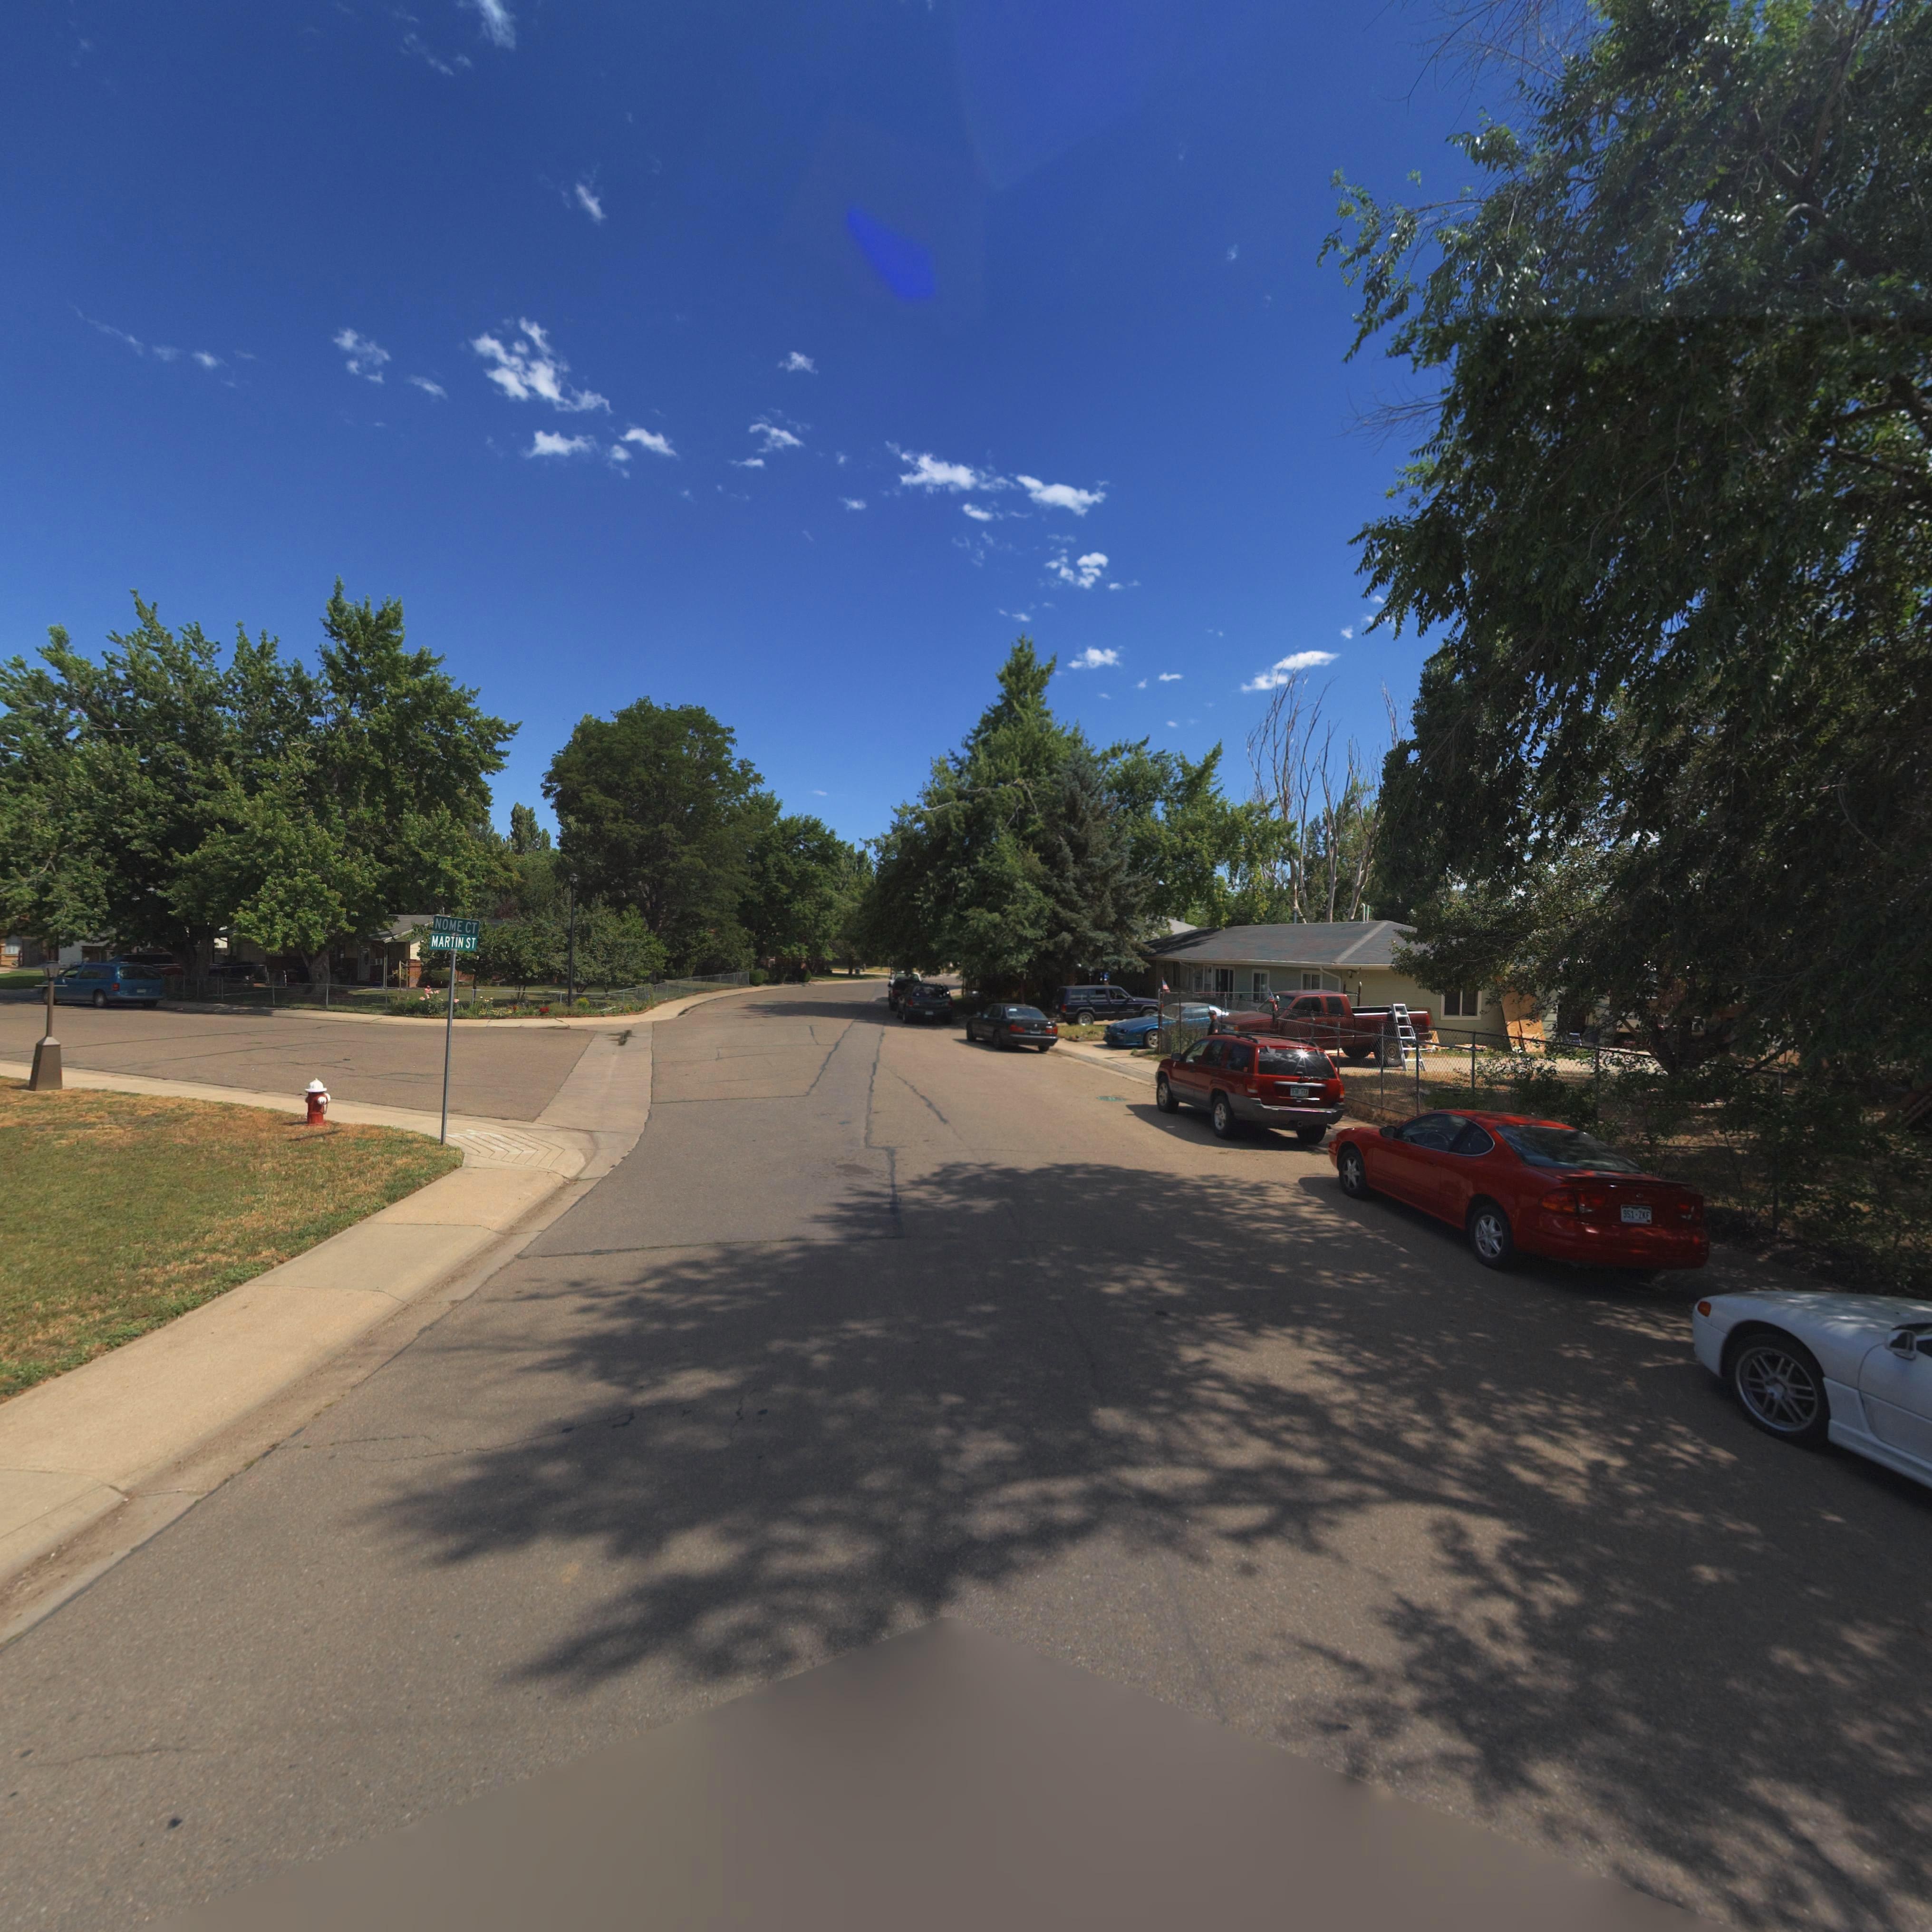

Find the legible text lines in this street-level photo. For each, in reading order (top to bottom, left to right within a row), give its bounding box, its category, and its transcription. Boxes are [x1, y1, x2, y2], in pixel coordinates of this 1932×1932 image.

[434, 917, 478, 934] StreetName: NOME CT
[430, 935, 476, 949] StreetName: MARTIN ST